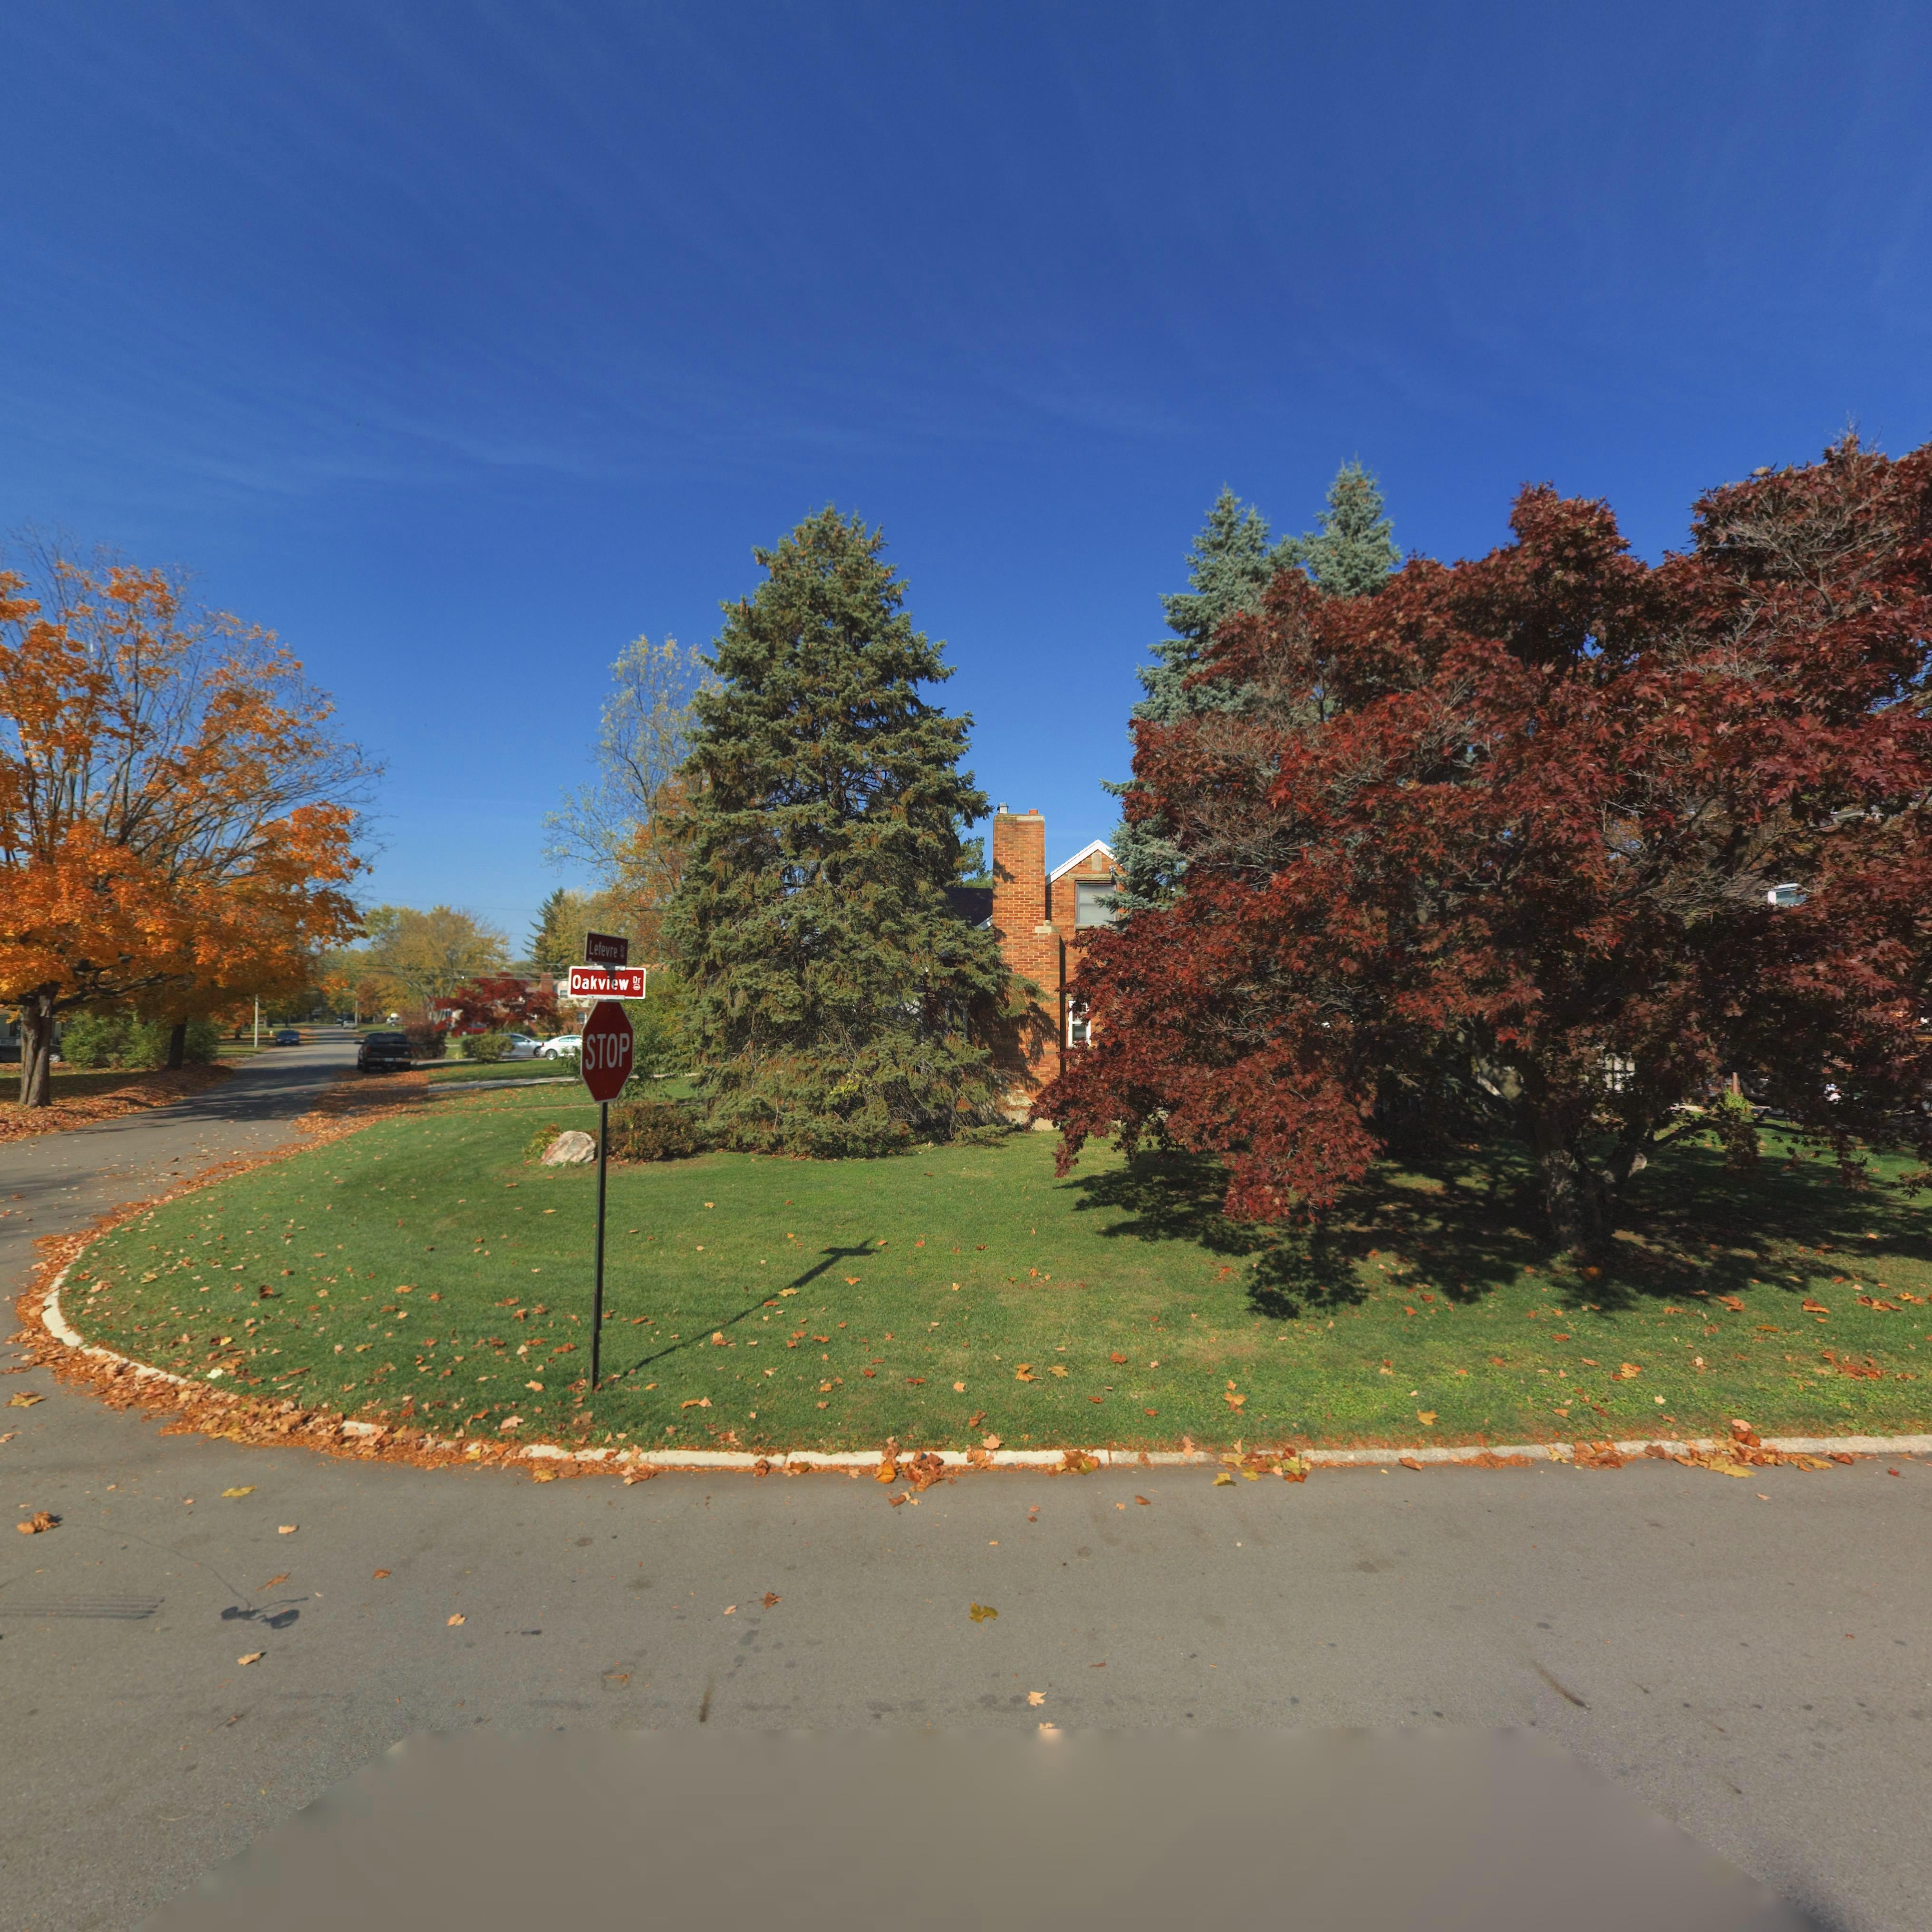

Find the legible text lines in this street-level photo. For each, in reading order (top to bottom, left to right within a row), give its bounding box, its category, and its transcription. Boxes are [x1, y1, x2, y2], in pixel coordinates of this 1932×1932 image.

[589, 939, 626, 959] StreetName: Lefevre Dr
[572, 974, 642, 991] StreetName: Oakview Dr
[585, 1033, 630, 1071] None: STOP